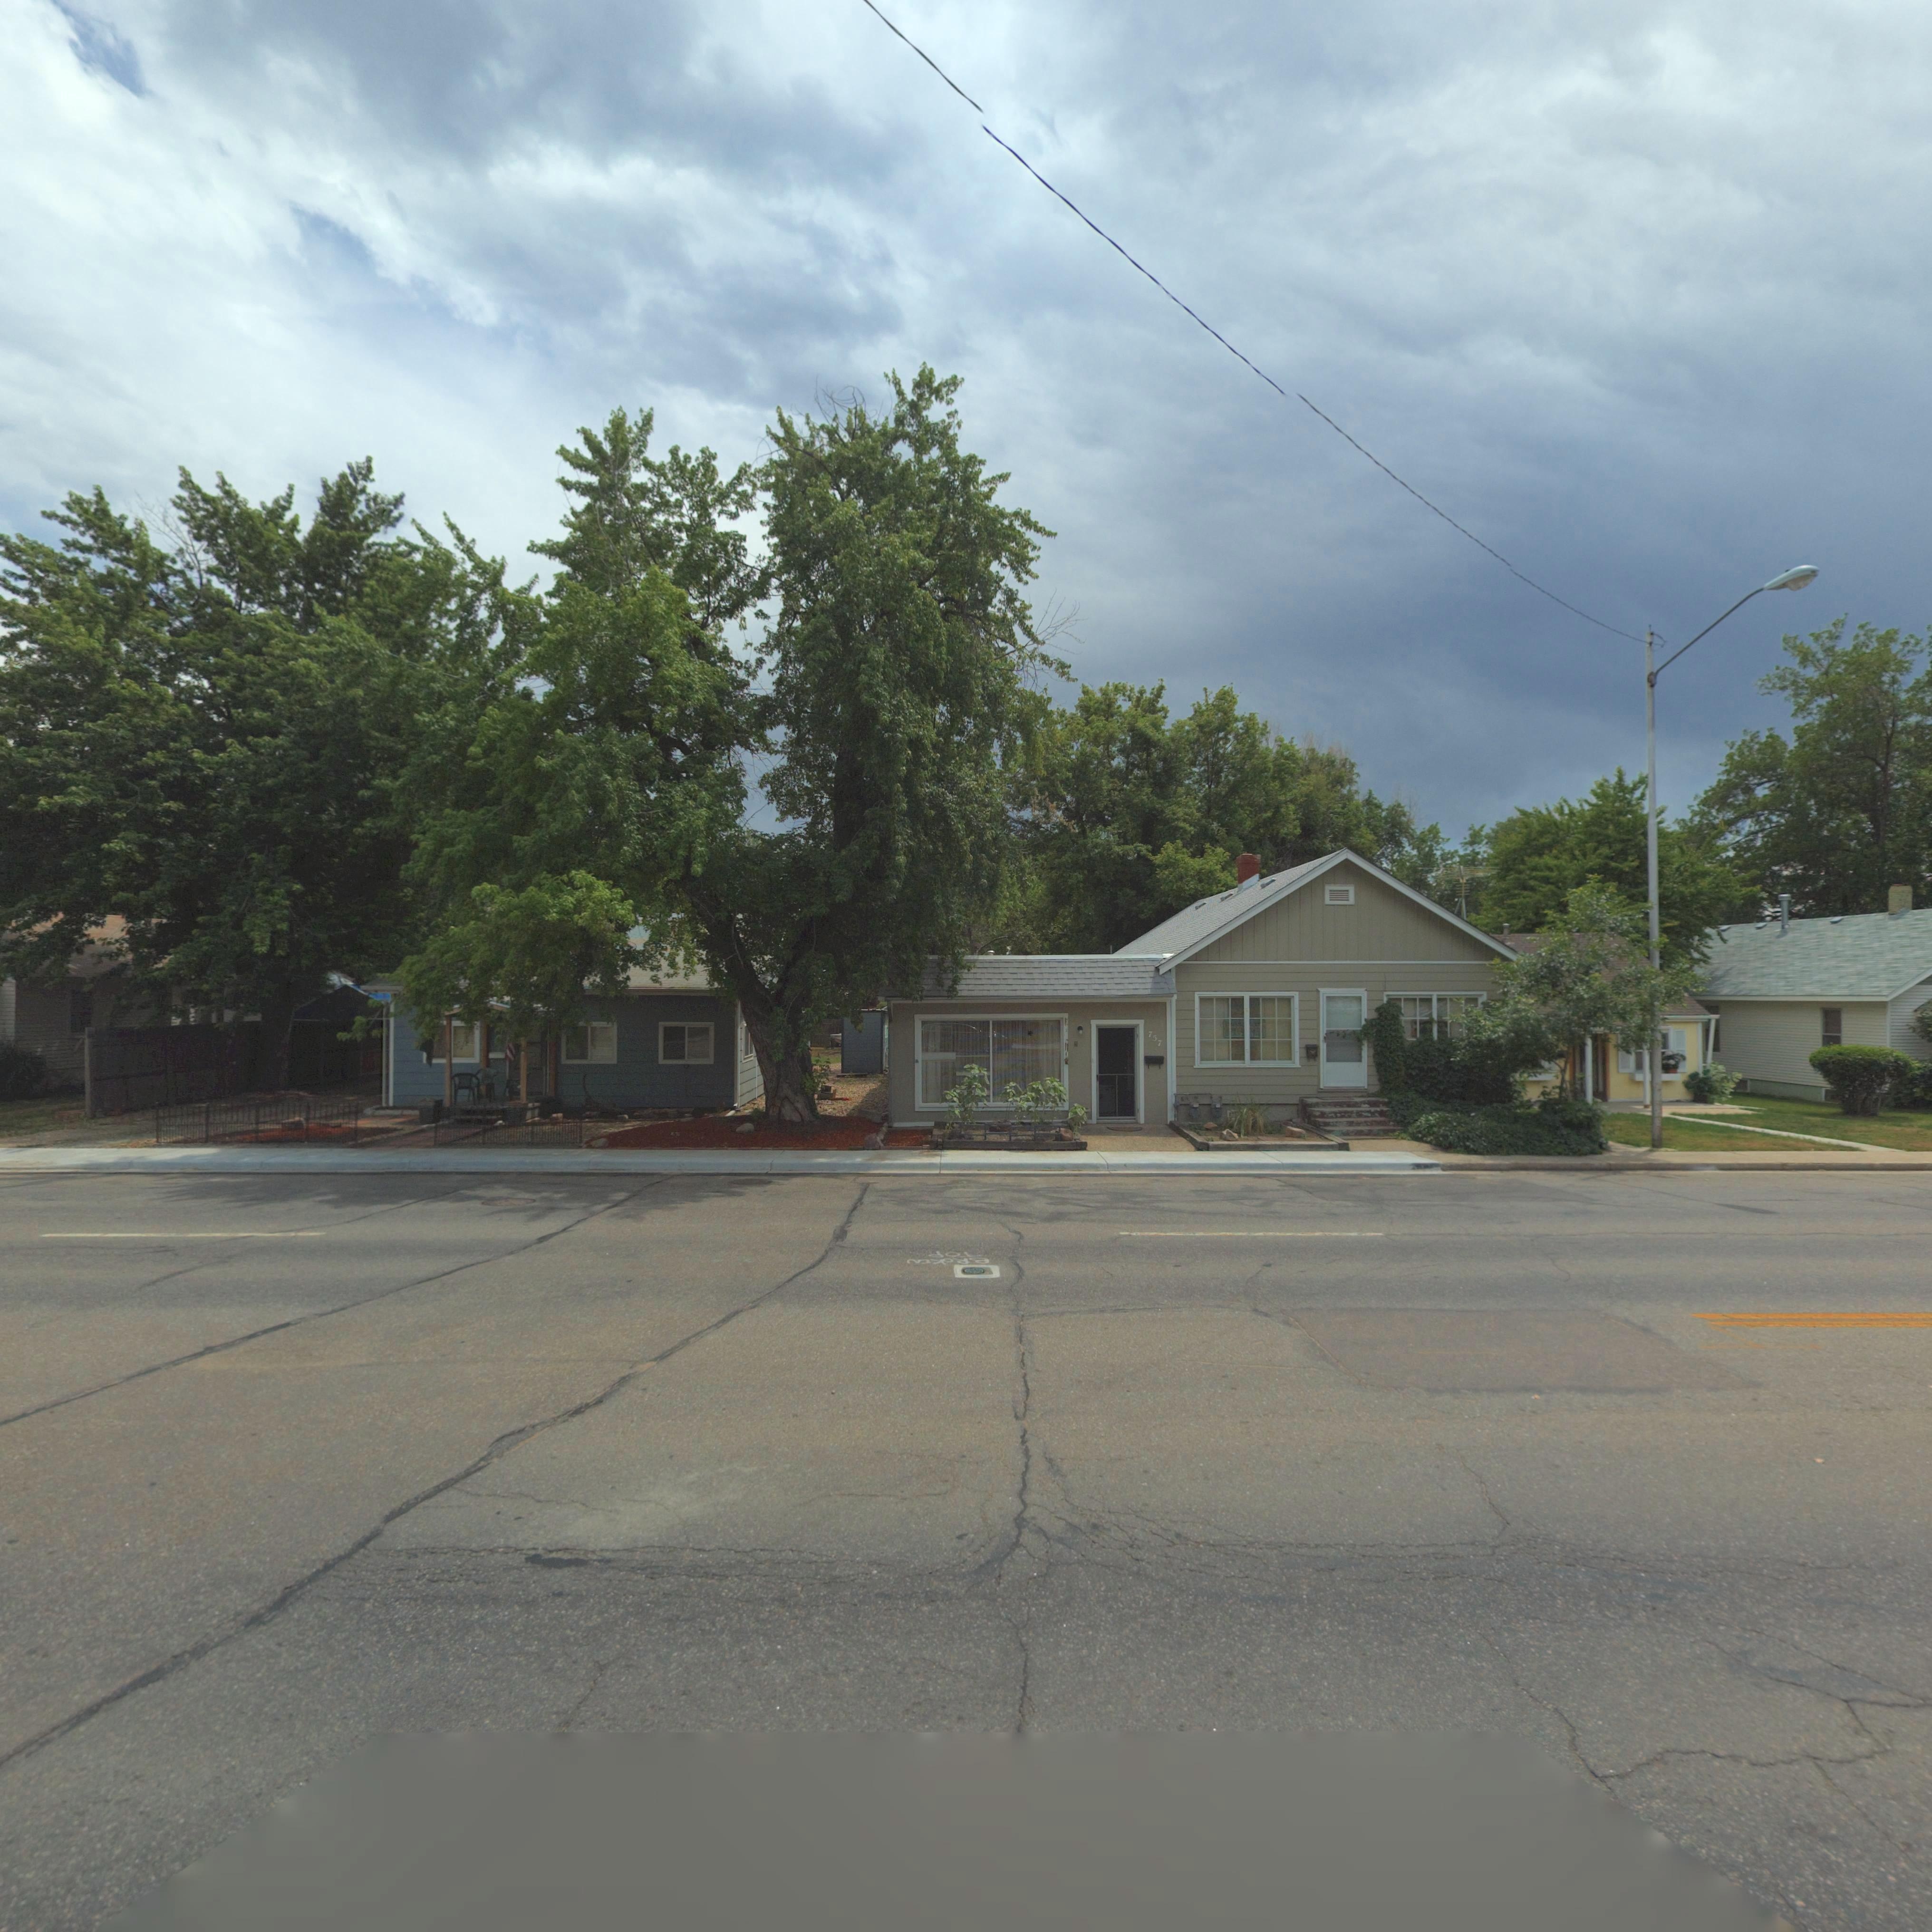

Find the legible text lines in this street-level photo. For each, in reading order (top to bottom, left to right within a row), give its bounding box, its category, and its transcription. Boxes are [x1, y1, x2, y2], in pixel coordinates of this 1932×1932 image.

[1148, 1030, 1163, 1047] StreetNumber: 757